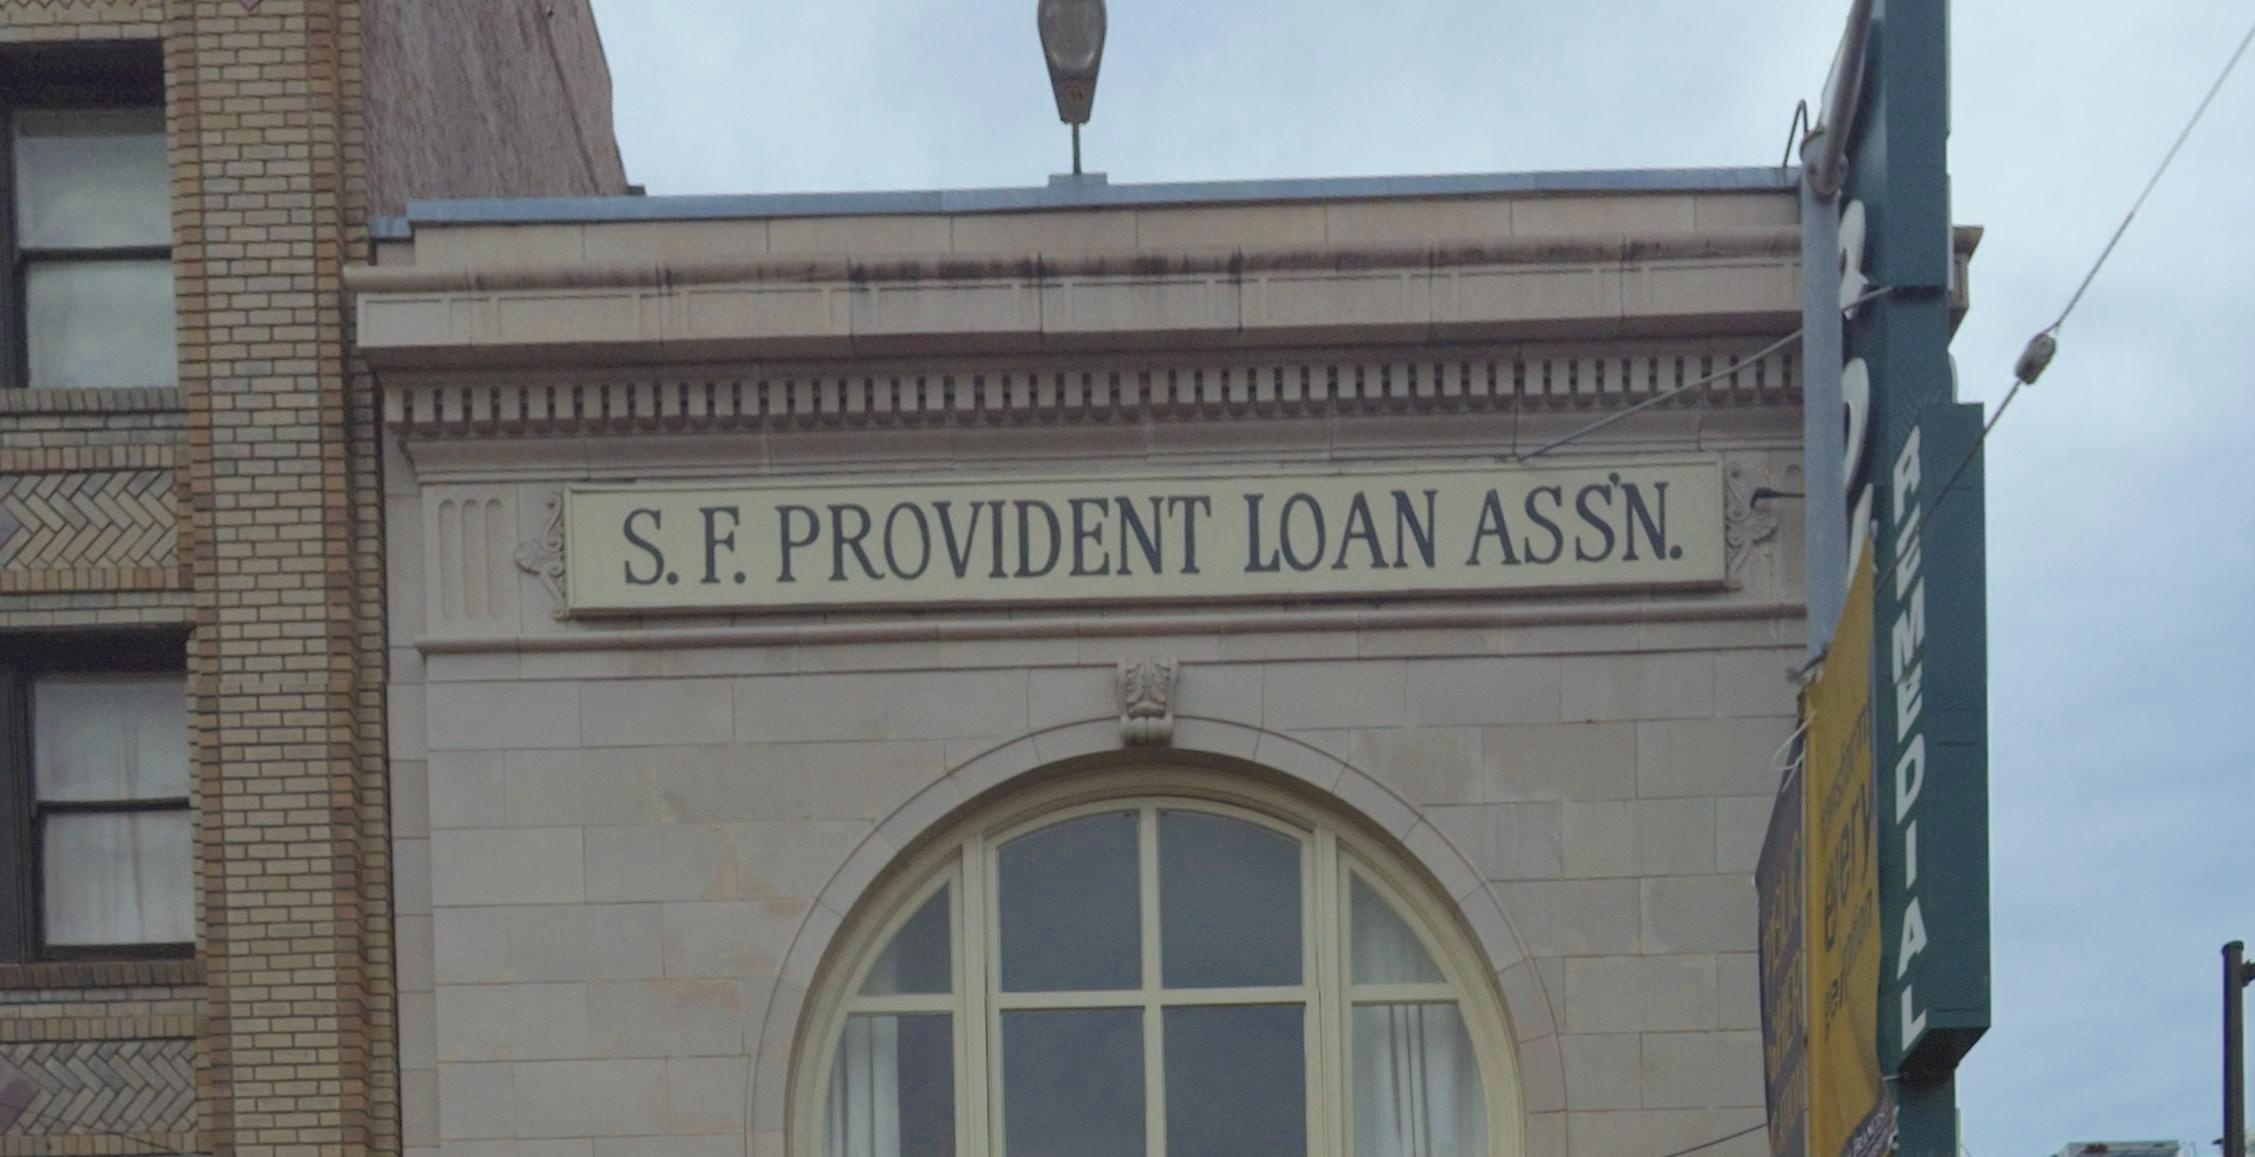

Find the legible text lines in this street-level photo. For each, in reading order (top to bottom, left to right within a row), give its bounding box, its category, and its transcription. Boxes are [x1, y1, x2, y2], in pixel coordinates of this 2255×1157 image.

[619, 469, 1695, 592] BusinessName: S.F. PROVIDENT LOAN ASS'N.
[1880, 412, 1934, 1062] None: REMEDIAL
[1835, 787, 1864, 913] None: er